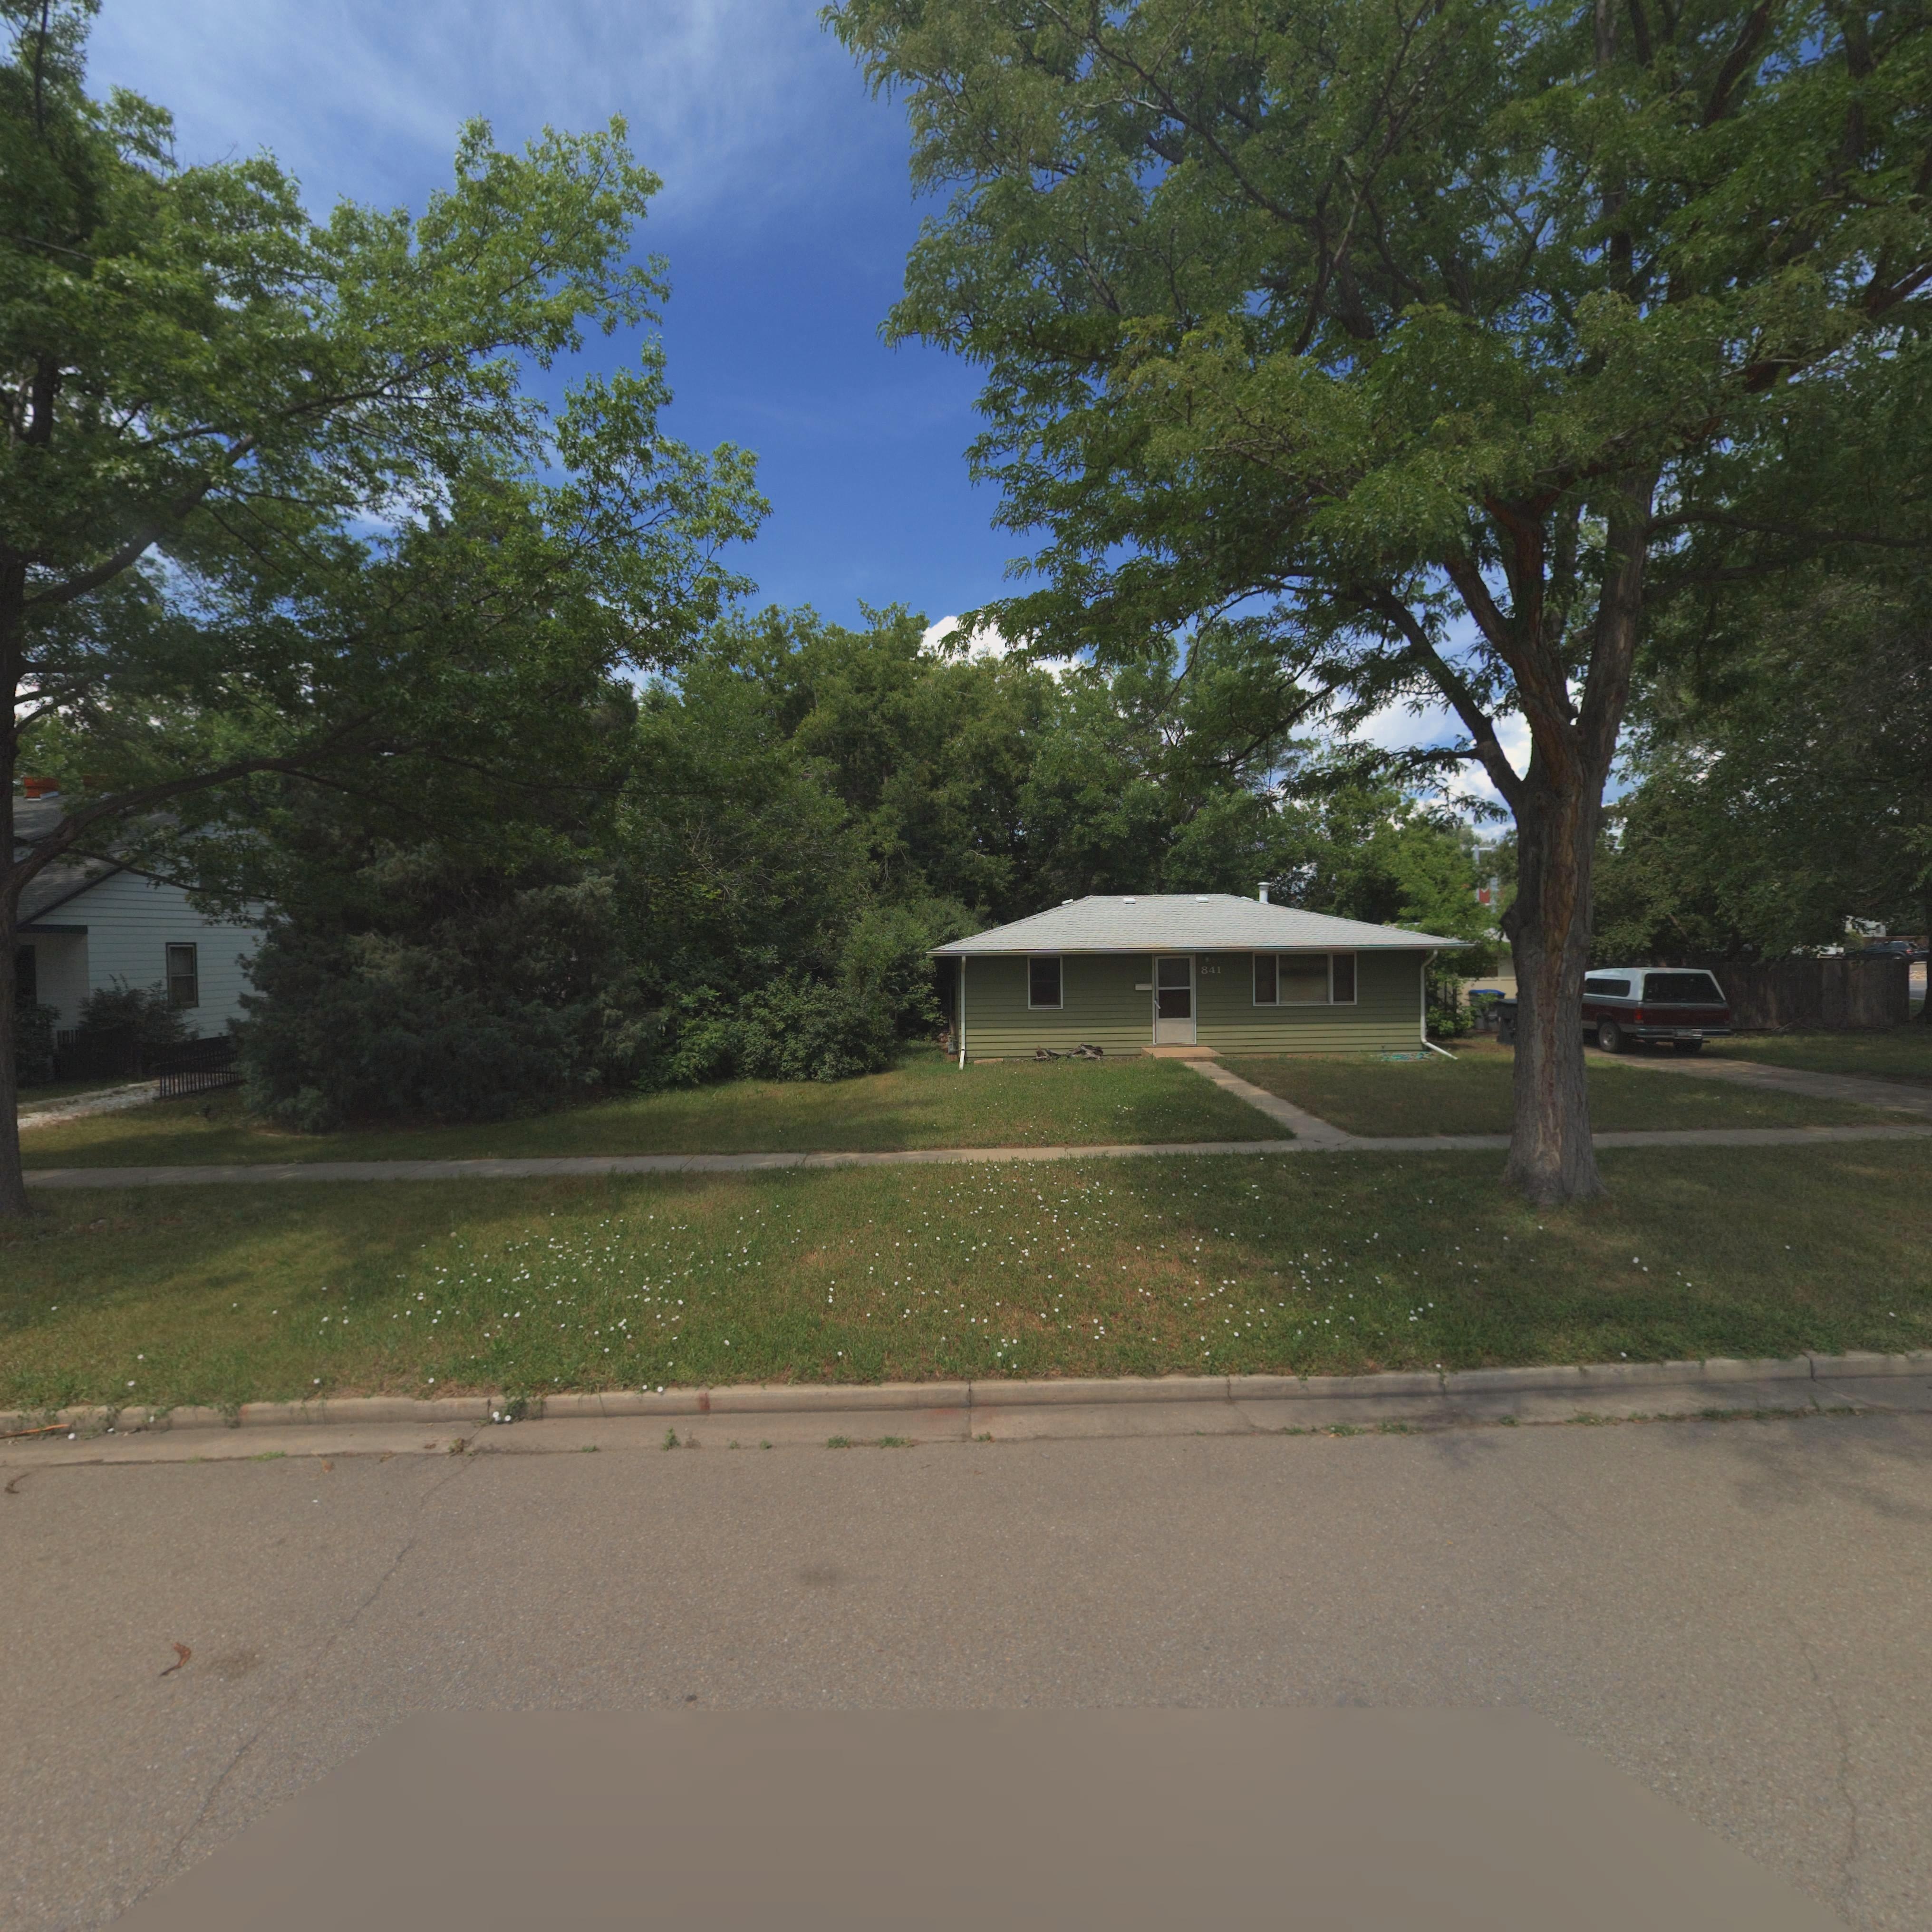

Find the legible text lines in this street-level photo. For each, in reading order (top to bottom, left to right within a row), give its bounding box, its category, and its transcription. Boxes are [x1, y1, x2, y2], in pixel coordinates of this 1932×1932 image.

[1201, 966, 1221, 974] StreetNumber: 841